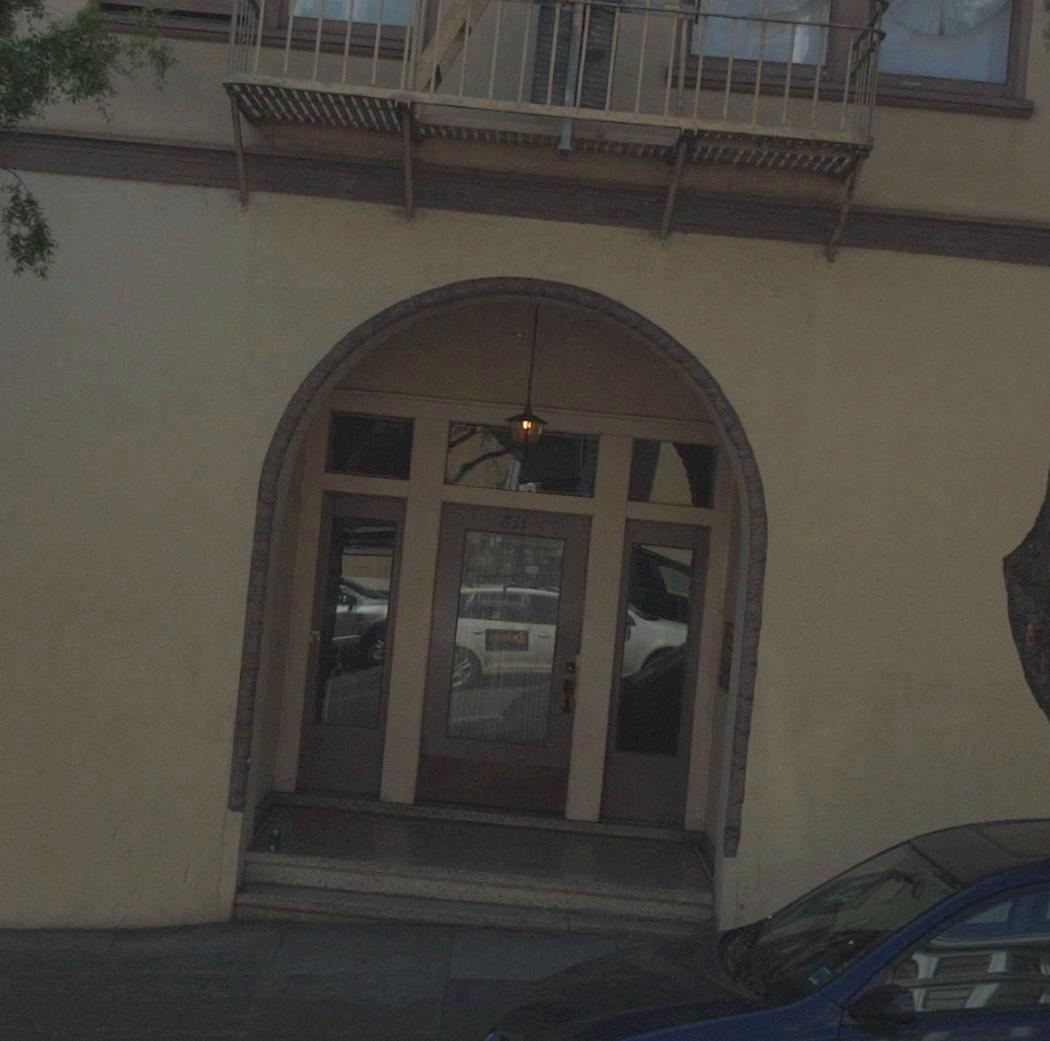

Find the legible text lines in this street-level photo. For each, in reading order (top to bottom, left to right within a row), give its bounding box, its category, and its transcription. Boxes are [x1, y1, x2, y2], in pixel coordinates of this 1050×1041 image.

[499, 513, 530, 533] StreetNumber: 811